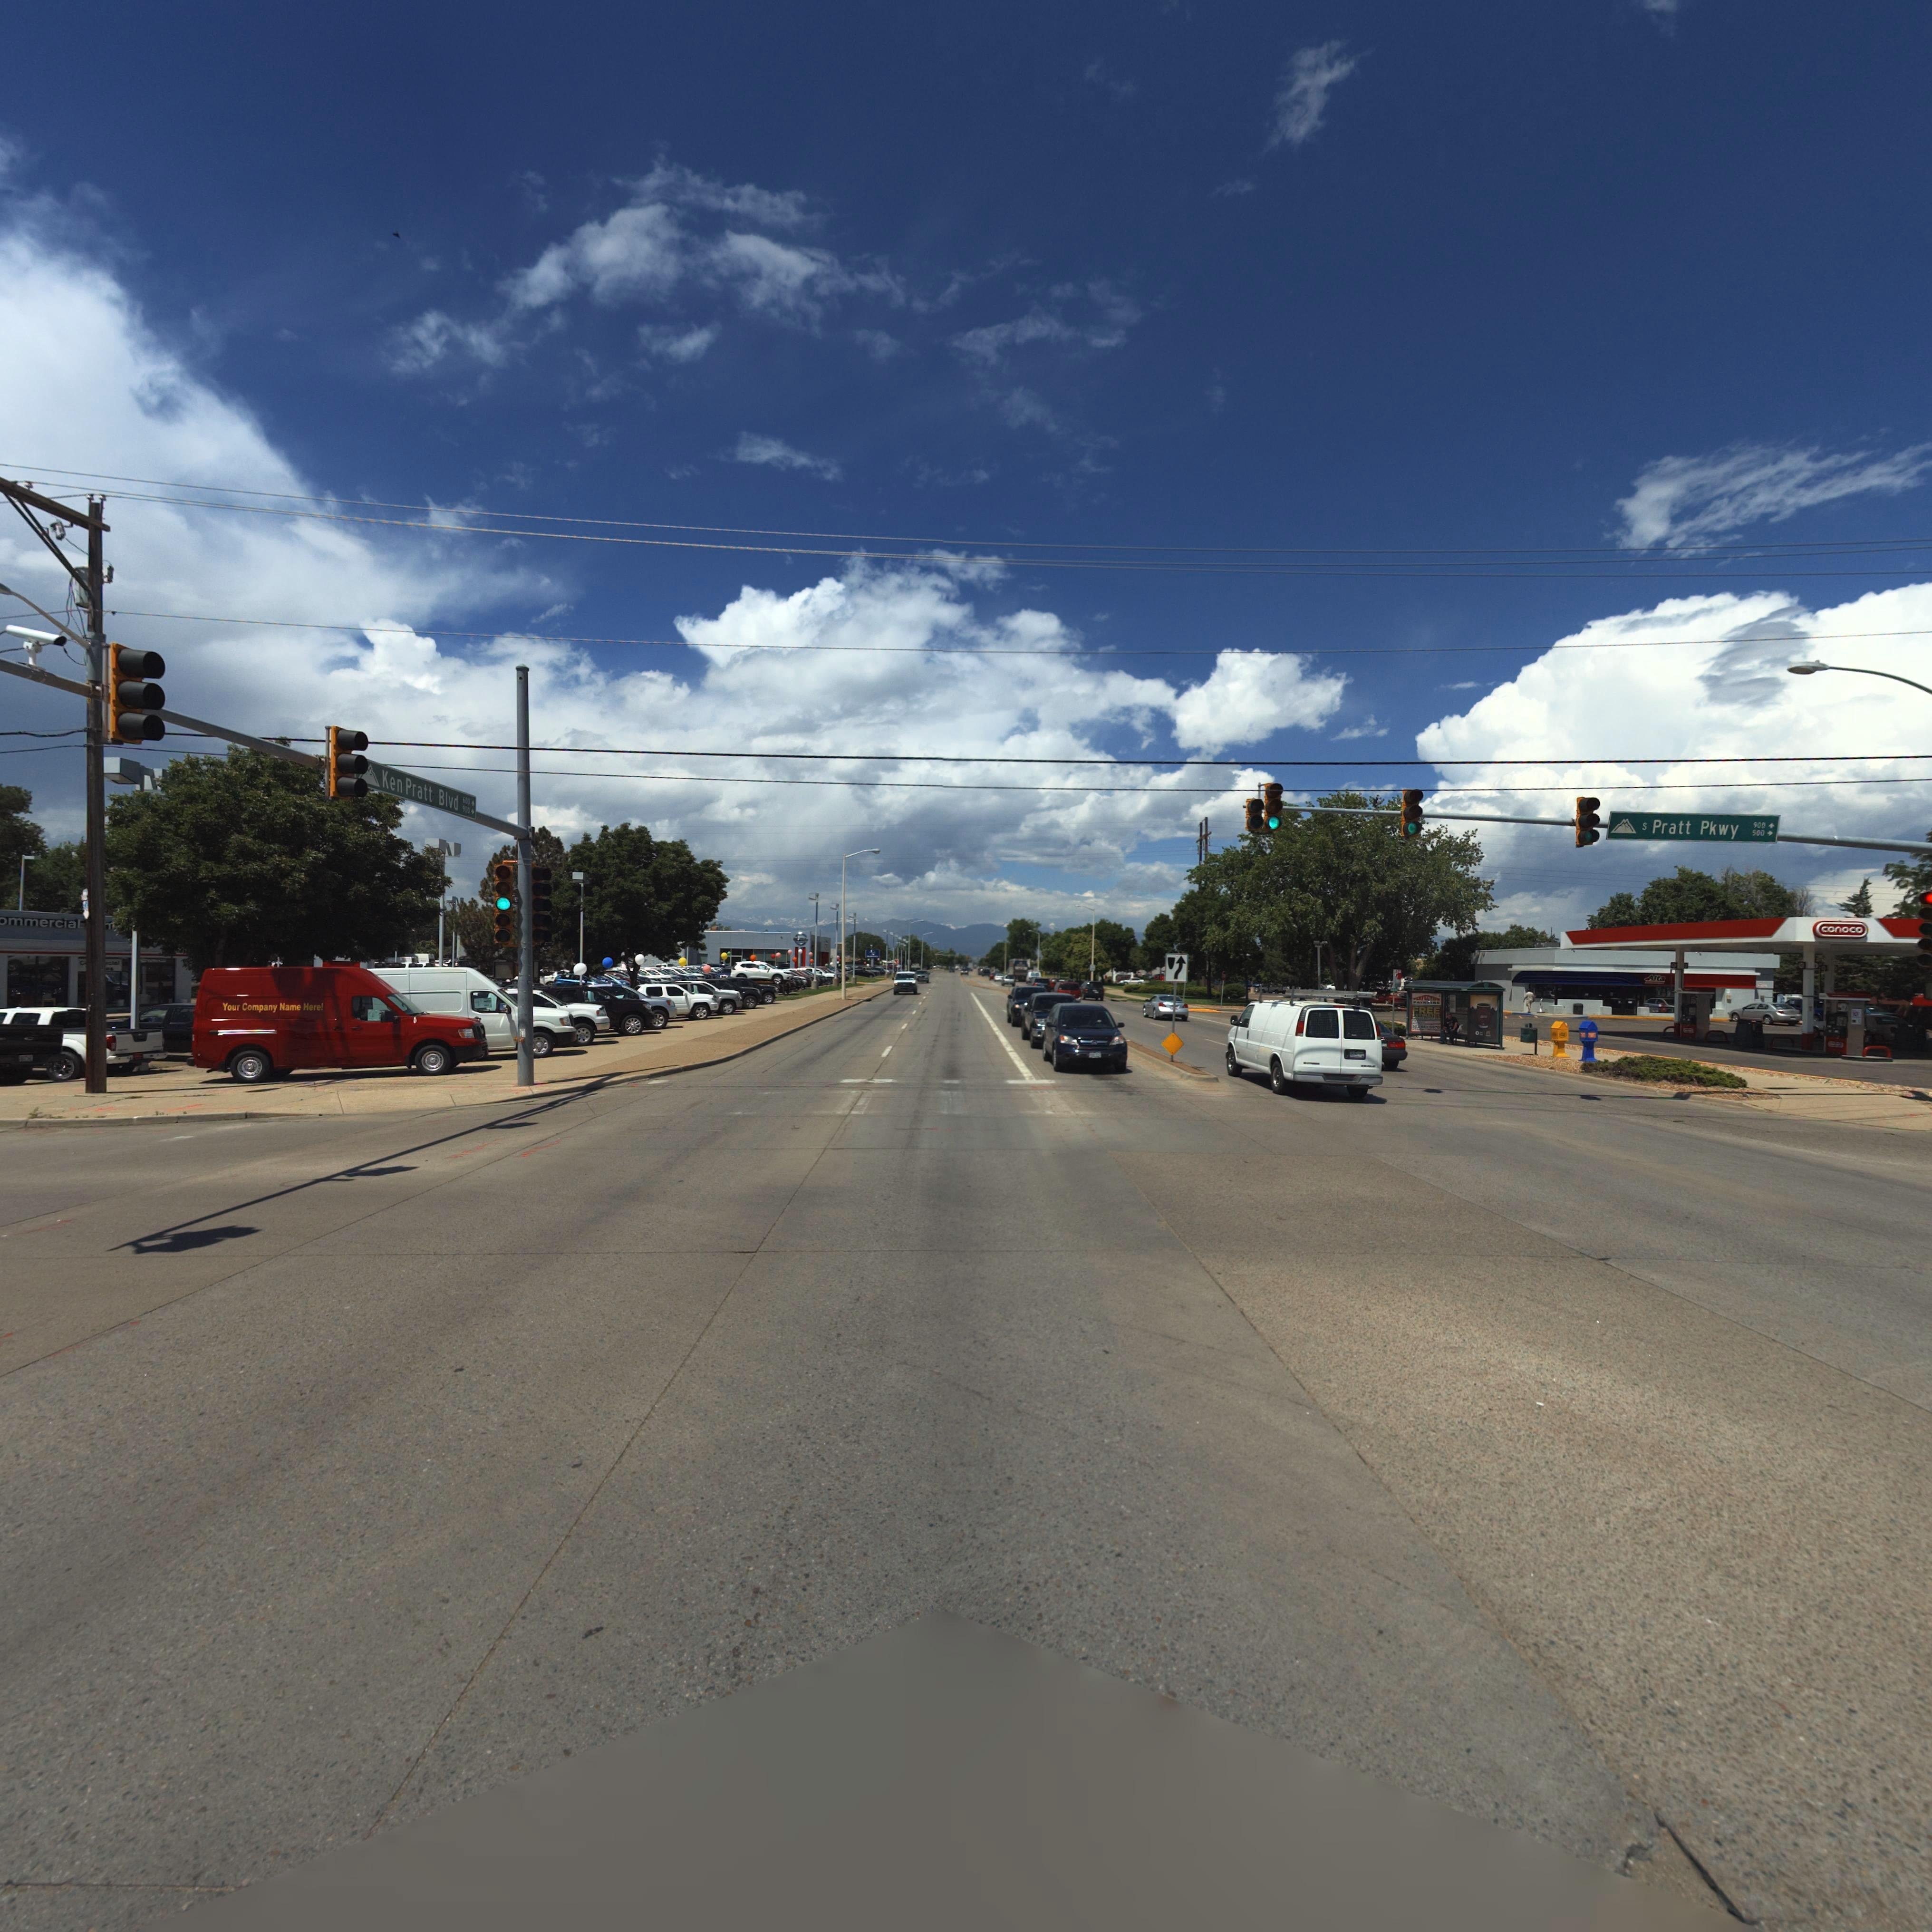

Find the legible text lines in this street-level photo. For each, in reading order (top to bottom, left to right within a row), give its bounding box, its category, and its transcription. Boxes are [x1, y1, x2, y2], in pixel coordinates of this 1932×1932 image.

[382, 769, 458, 811] StreetName: Ken Pratt Blvd
[463, 796, 470, 805] StreetNumberRange: 600
[462, 805, 474, 814] StreetNumberRange: 900 ->
[1752, 821, 1766, 828] StreetNumberRange: 900
[1641, 819, 1739, 839] StreetName: S Pratt Pkwy
[1751, 829, 1773, 836] StreetNumberRange: 500 ->
[1821, 926, 1863, 933] BusinessName: conoco
[1644, 974, 1665, 981] BusinessName: Alta